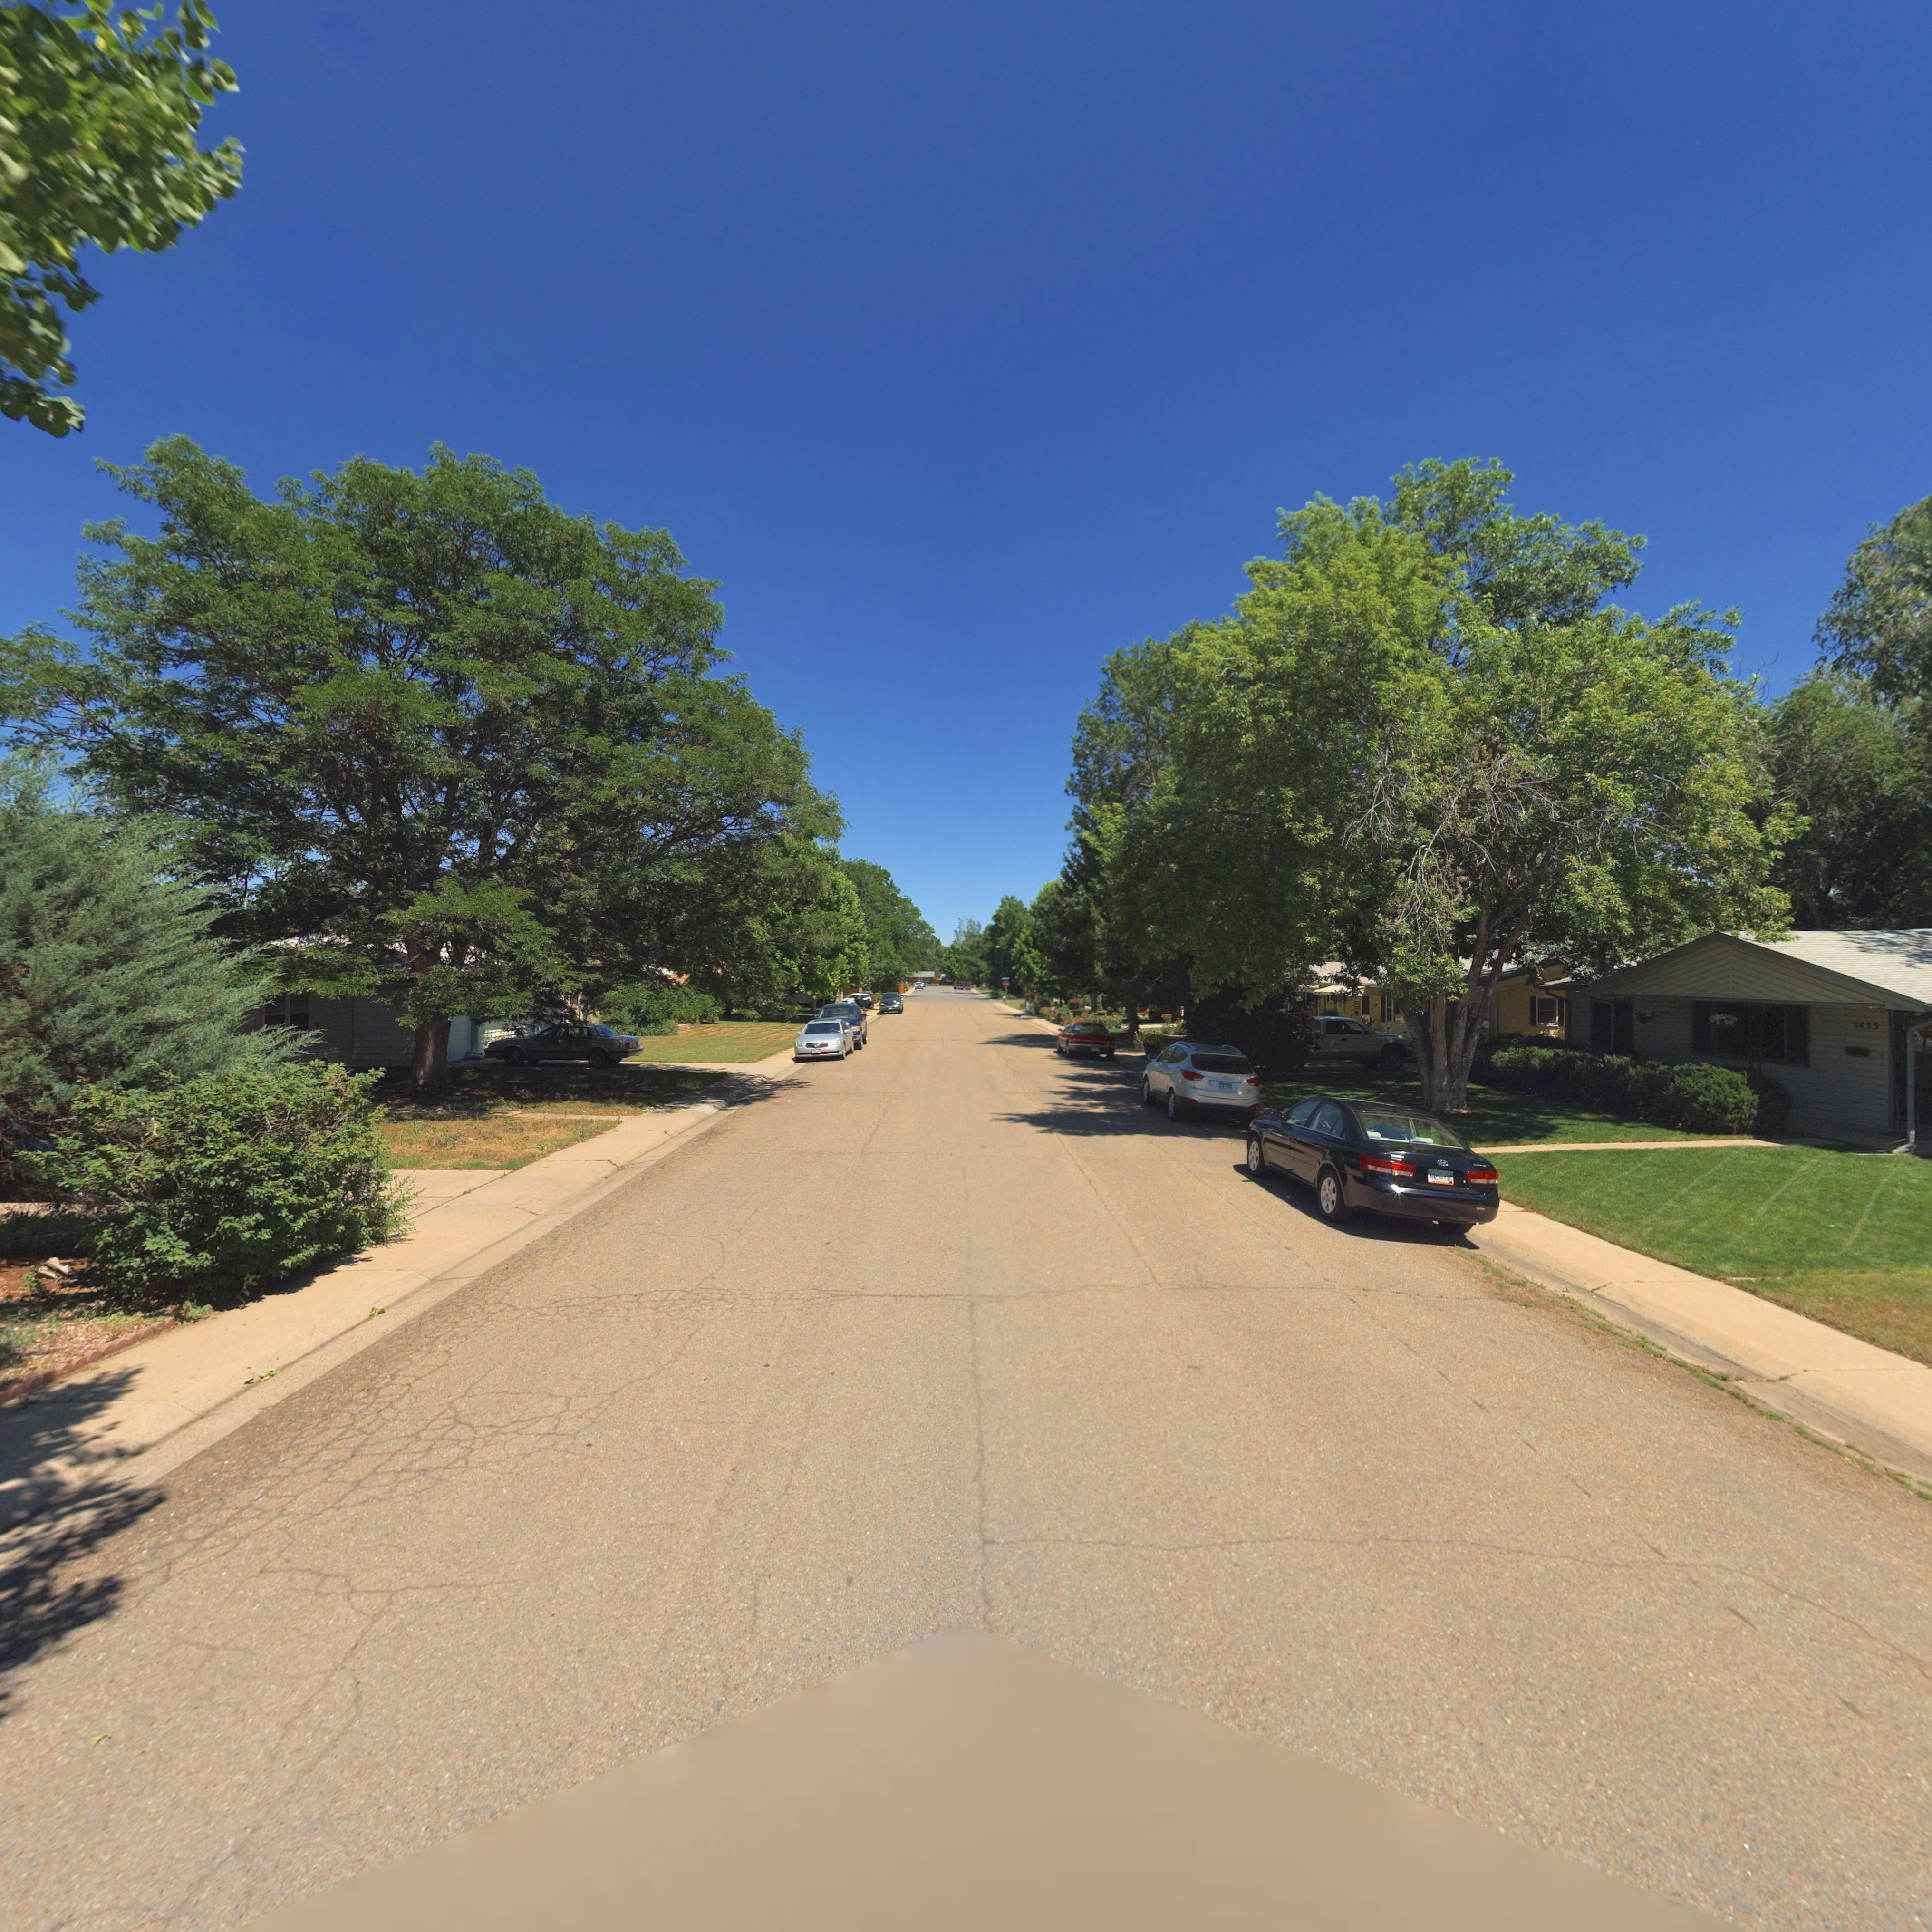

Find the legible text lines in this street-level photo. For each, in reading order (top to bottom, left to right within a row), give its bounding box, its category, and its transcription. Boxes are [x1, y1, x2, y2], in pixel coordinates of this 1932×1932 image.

[1853, 1021, 1879, 1031] StreetNumber: 1433